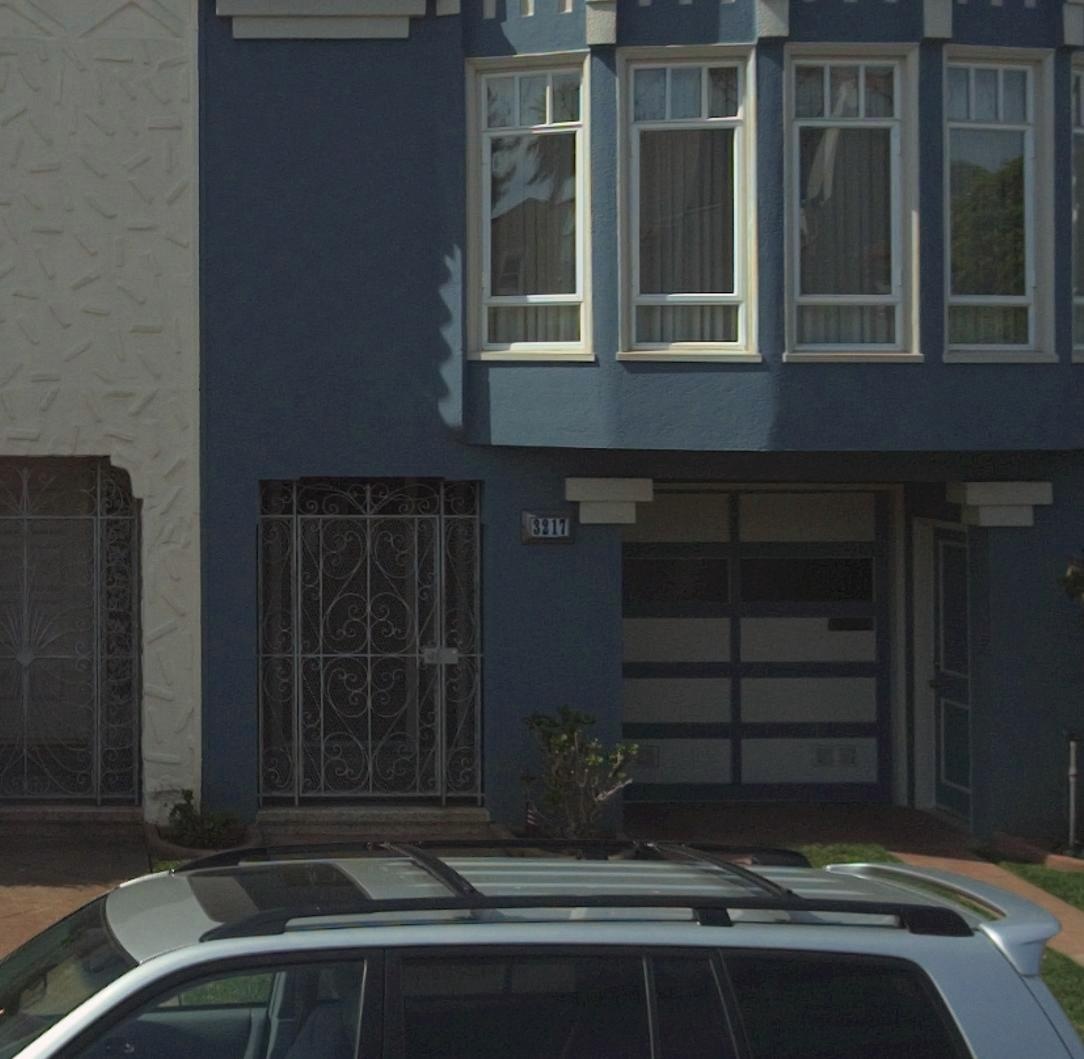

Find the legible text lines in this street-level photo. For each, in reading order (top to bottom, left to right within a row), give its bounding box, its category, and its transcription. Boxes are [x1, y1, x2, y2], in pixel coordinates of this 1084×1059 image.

[531, 517, 568, 537] StreetNumber: 3217